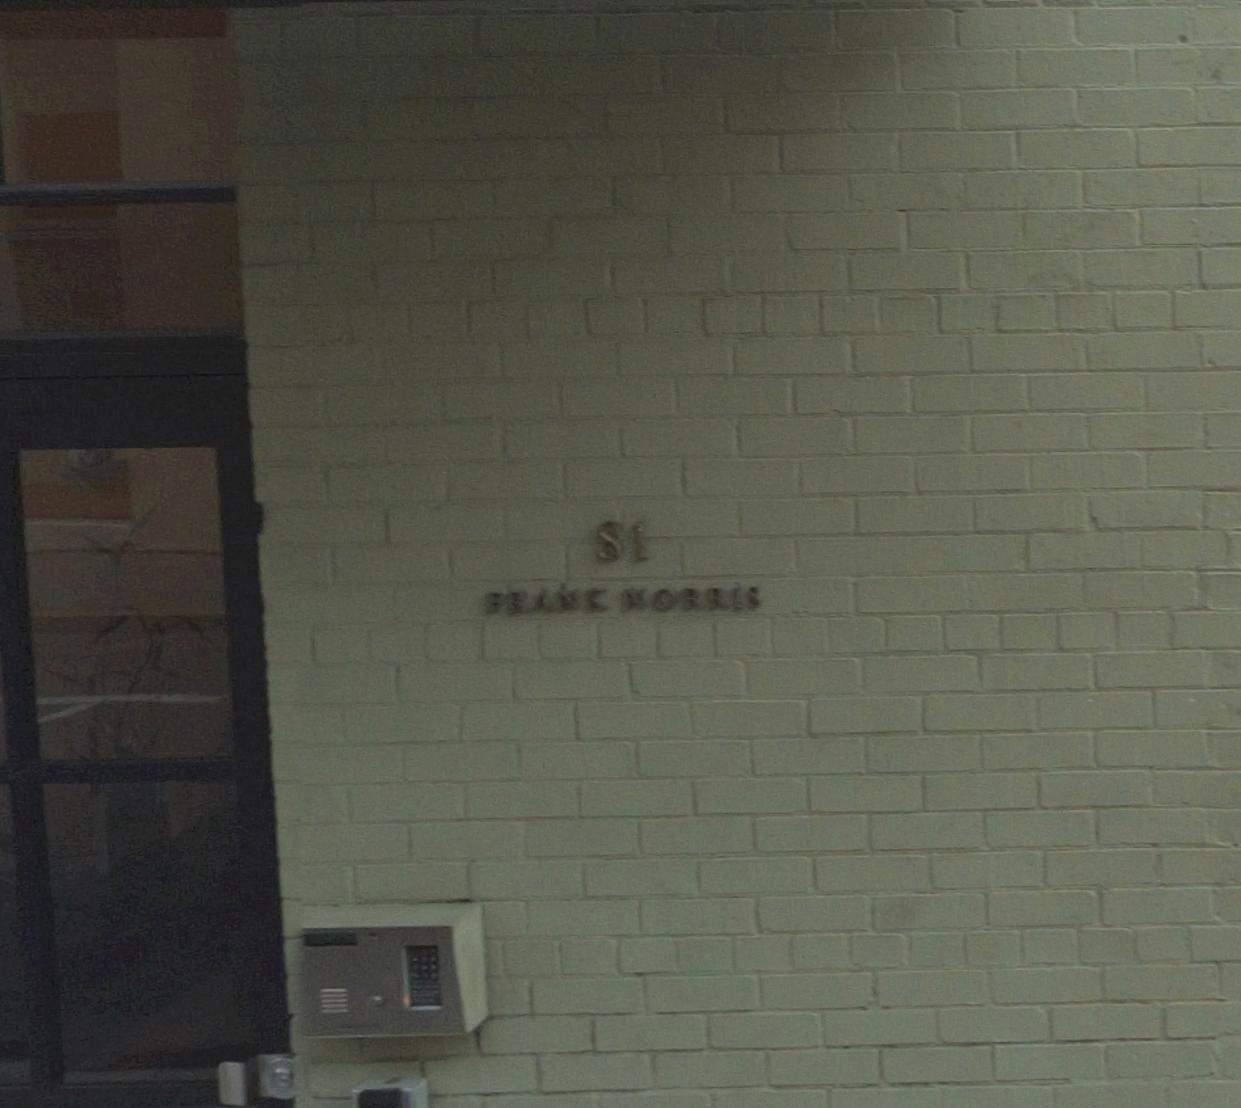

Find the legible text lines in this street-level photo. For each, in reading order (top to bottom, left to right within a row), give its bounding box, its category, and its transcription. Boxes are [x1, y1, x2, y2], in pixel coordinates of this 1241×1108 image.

[595, 518, 651, 563] StreetNumber: 81
[484, 584, 764, 616] None: FRANK MORRIS